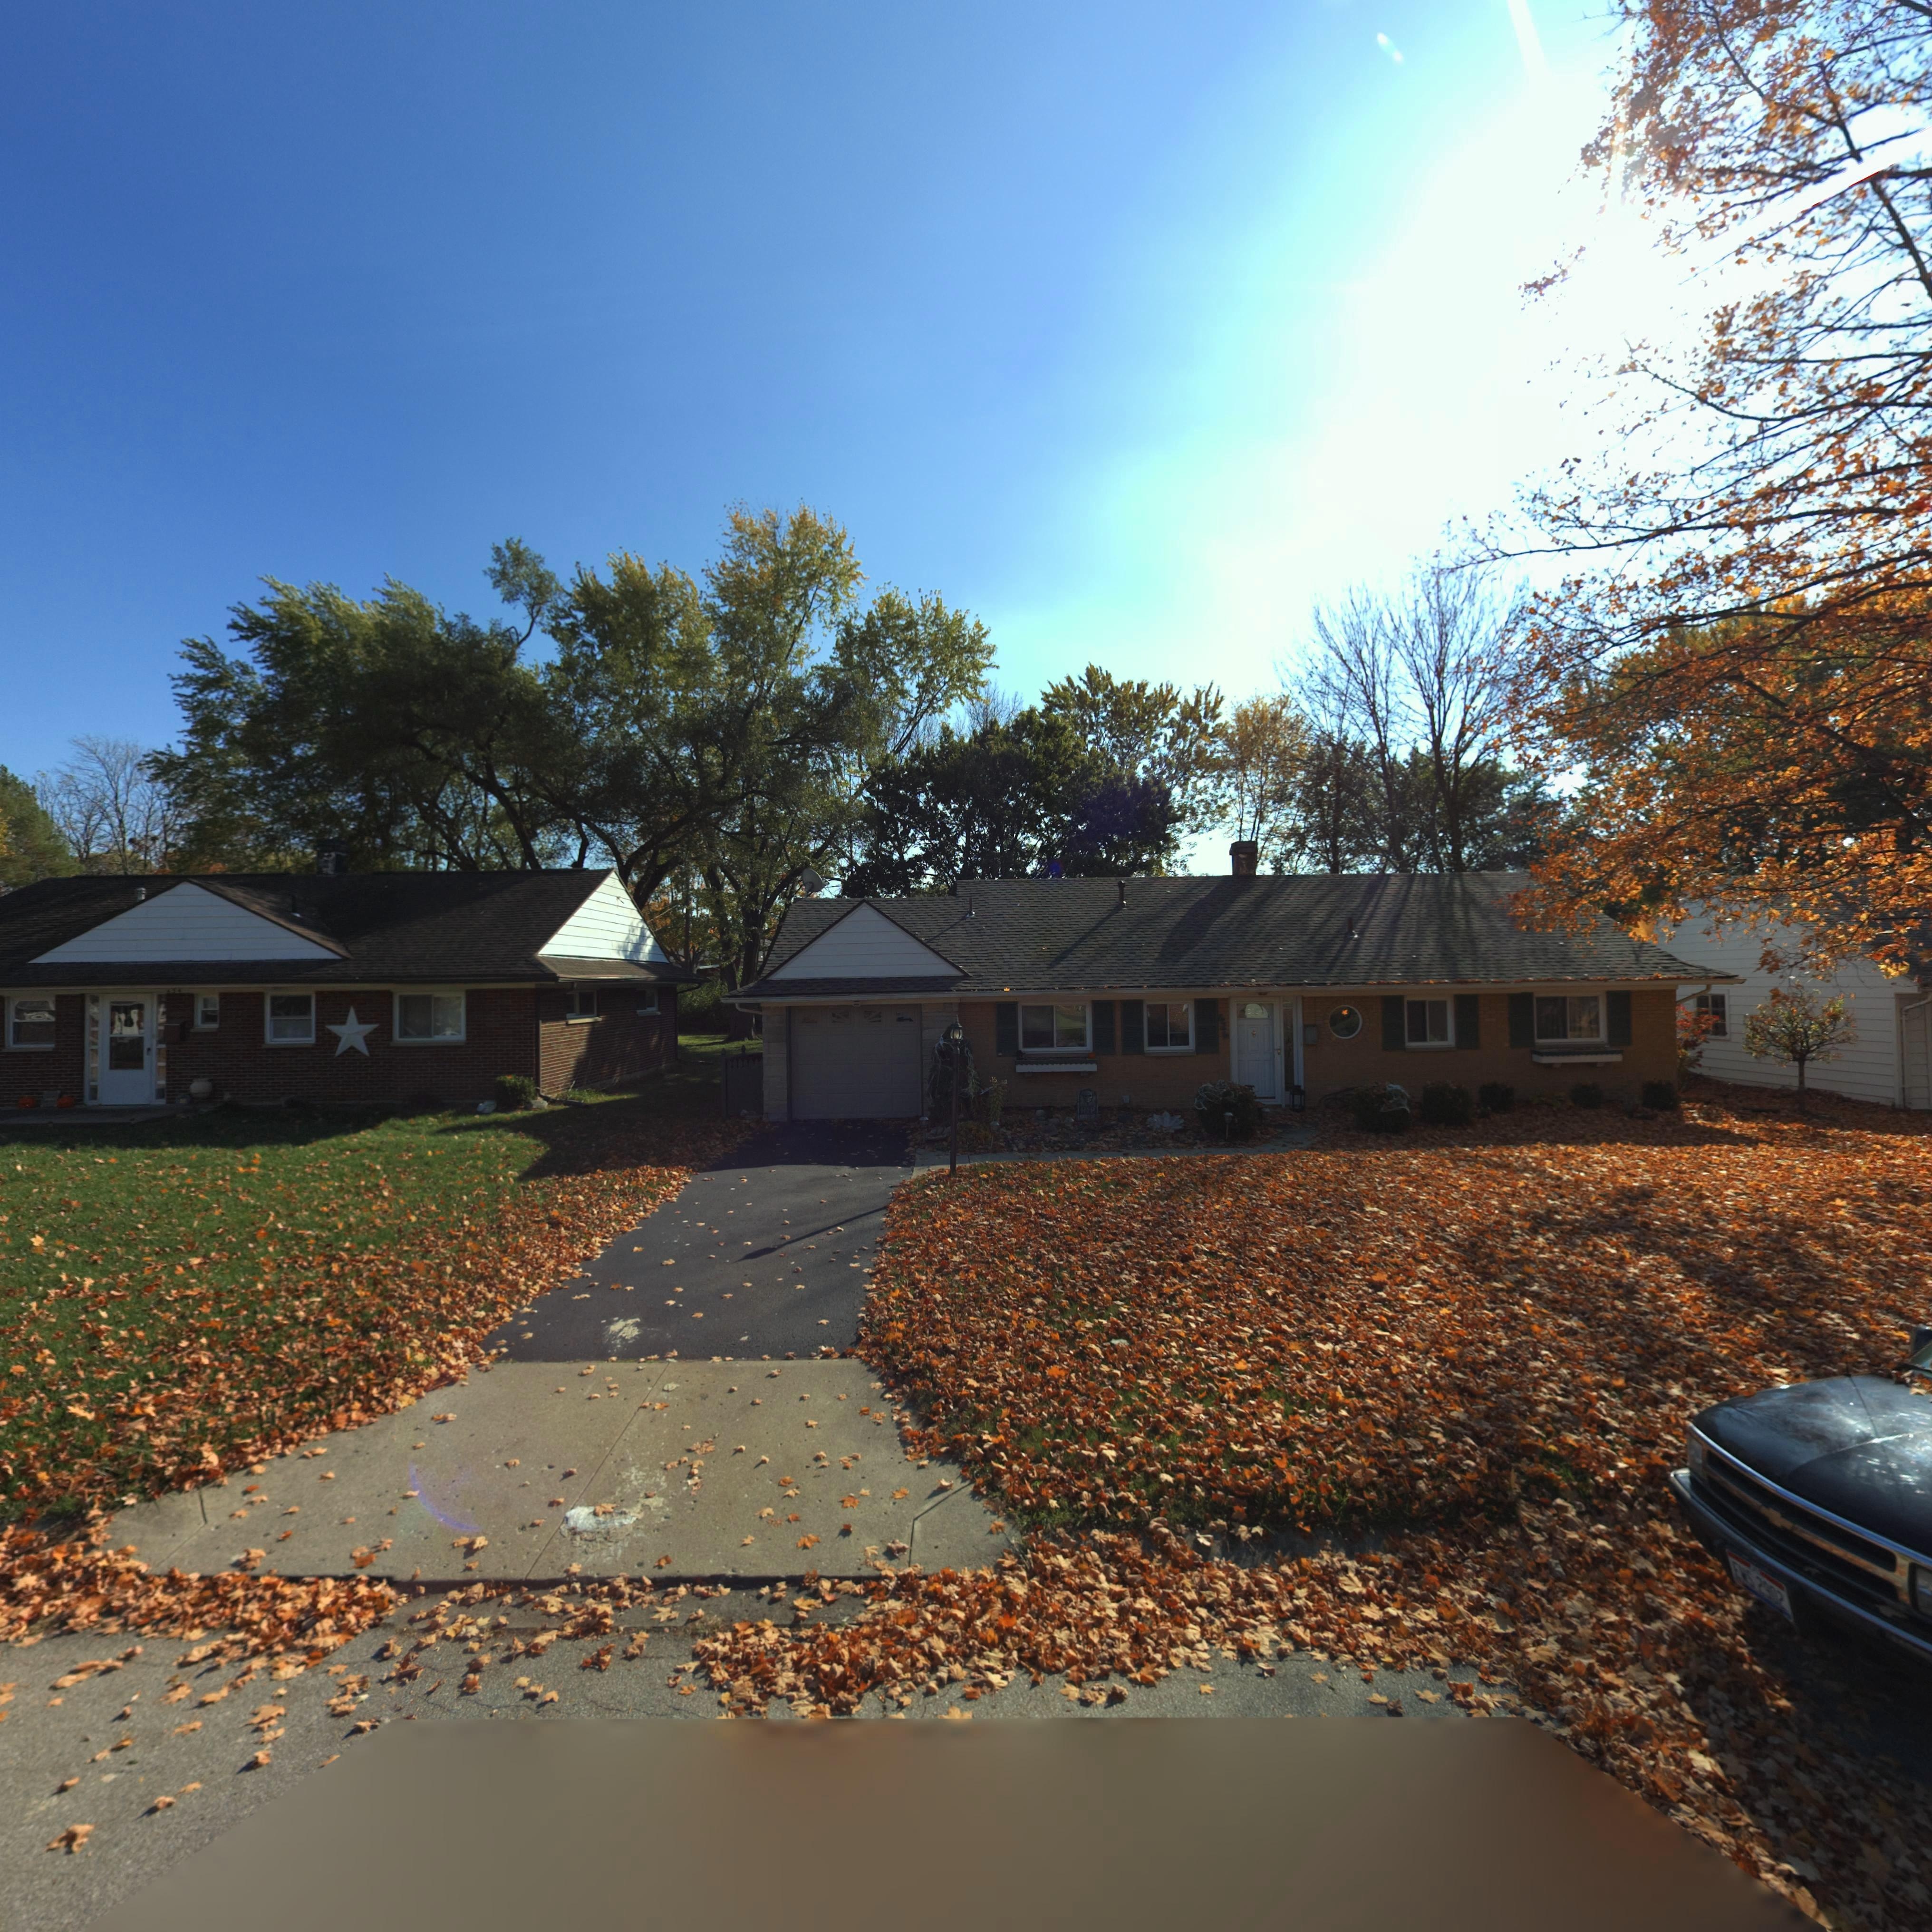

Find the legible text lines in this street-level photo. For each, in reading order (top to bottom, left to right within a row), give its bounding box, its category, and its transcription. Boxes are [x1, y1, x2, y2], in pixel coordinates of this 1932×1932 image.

[1216, 1011, 1231, 1040] StreetNumber: 626